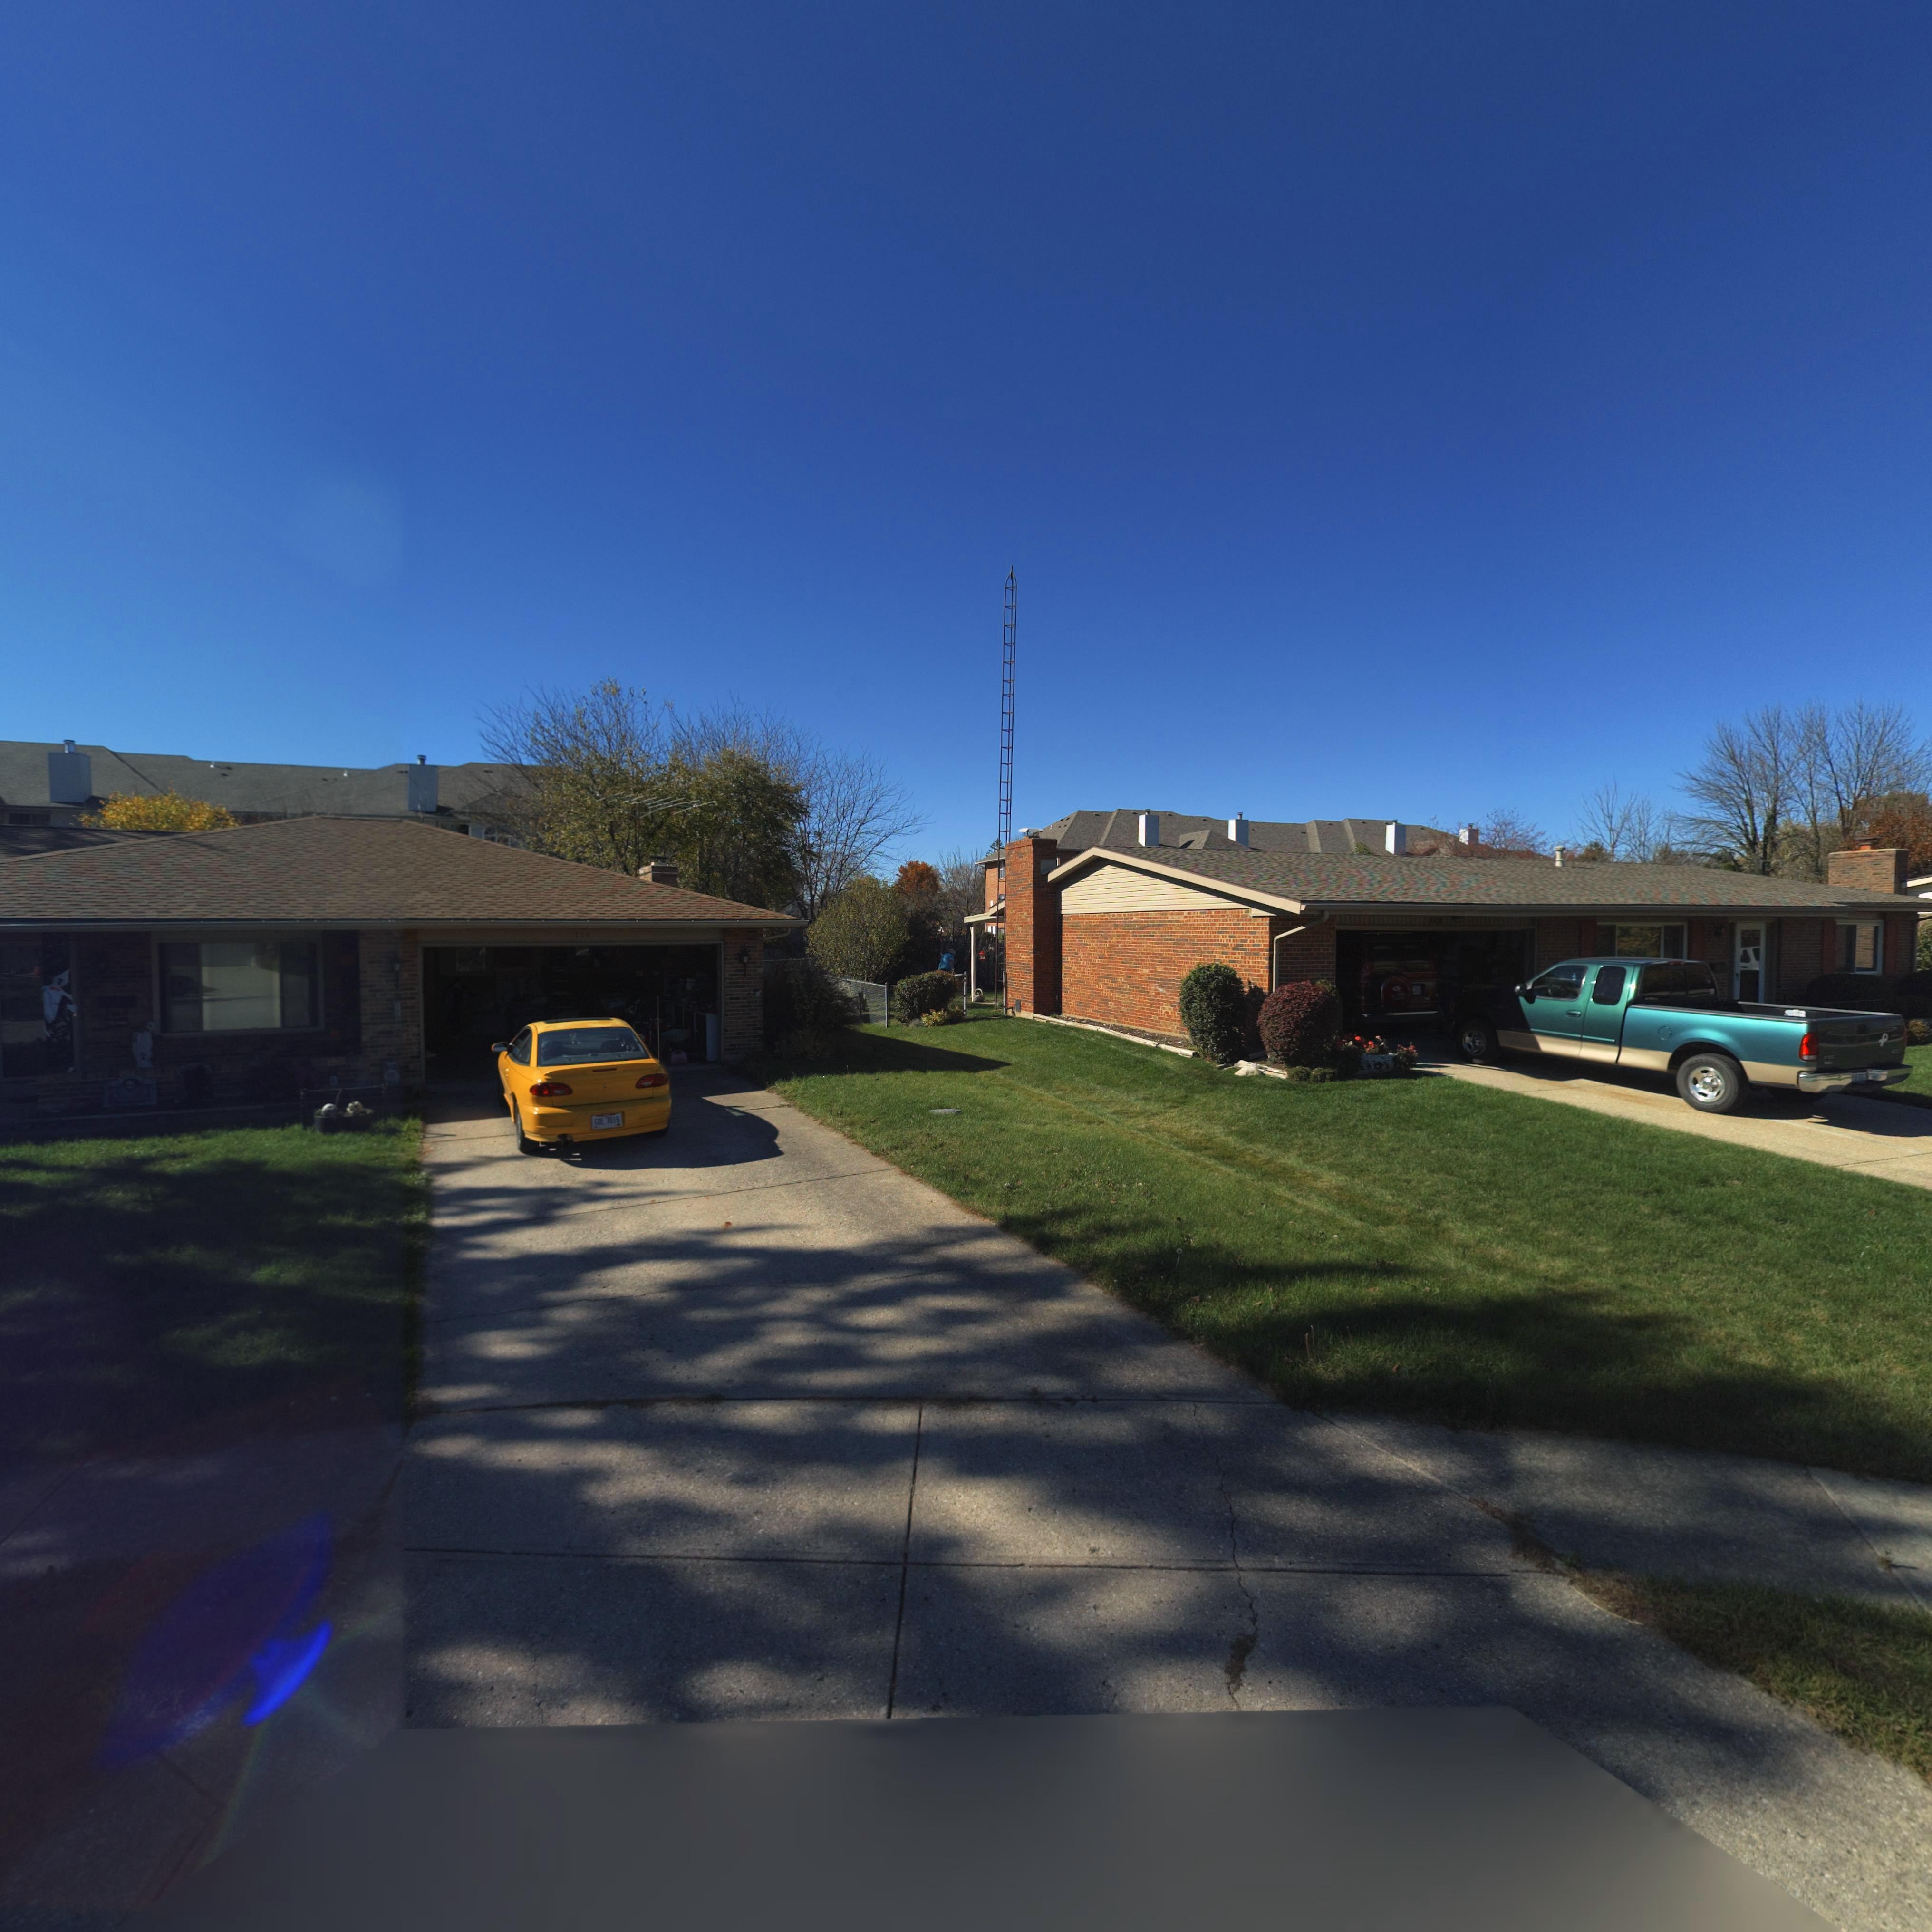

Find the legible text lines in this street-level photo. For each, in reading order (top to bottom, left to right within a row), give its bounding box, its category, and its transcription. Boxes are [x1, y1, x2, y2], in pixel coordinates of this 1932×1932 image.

[1429, 916, 1442, 924] StreetNumber: 709
[574, 931, 589, 938] StreetNumber: 711